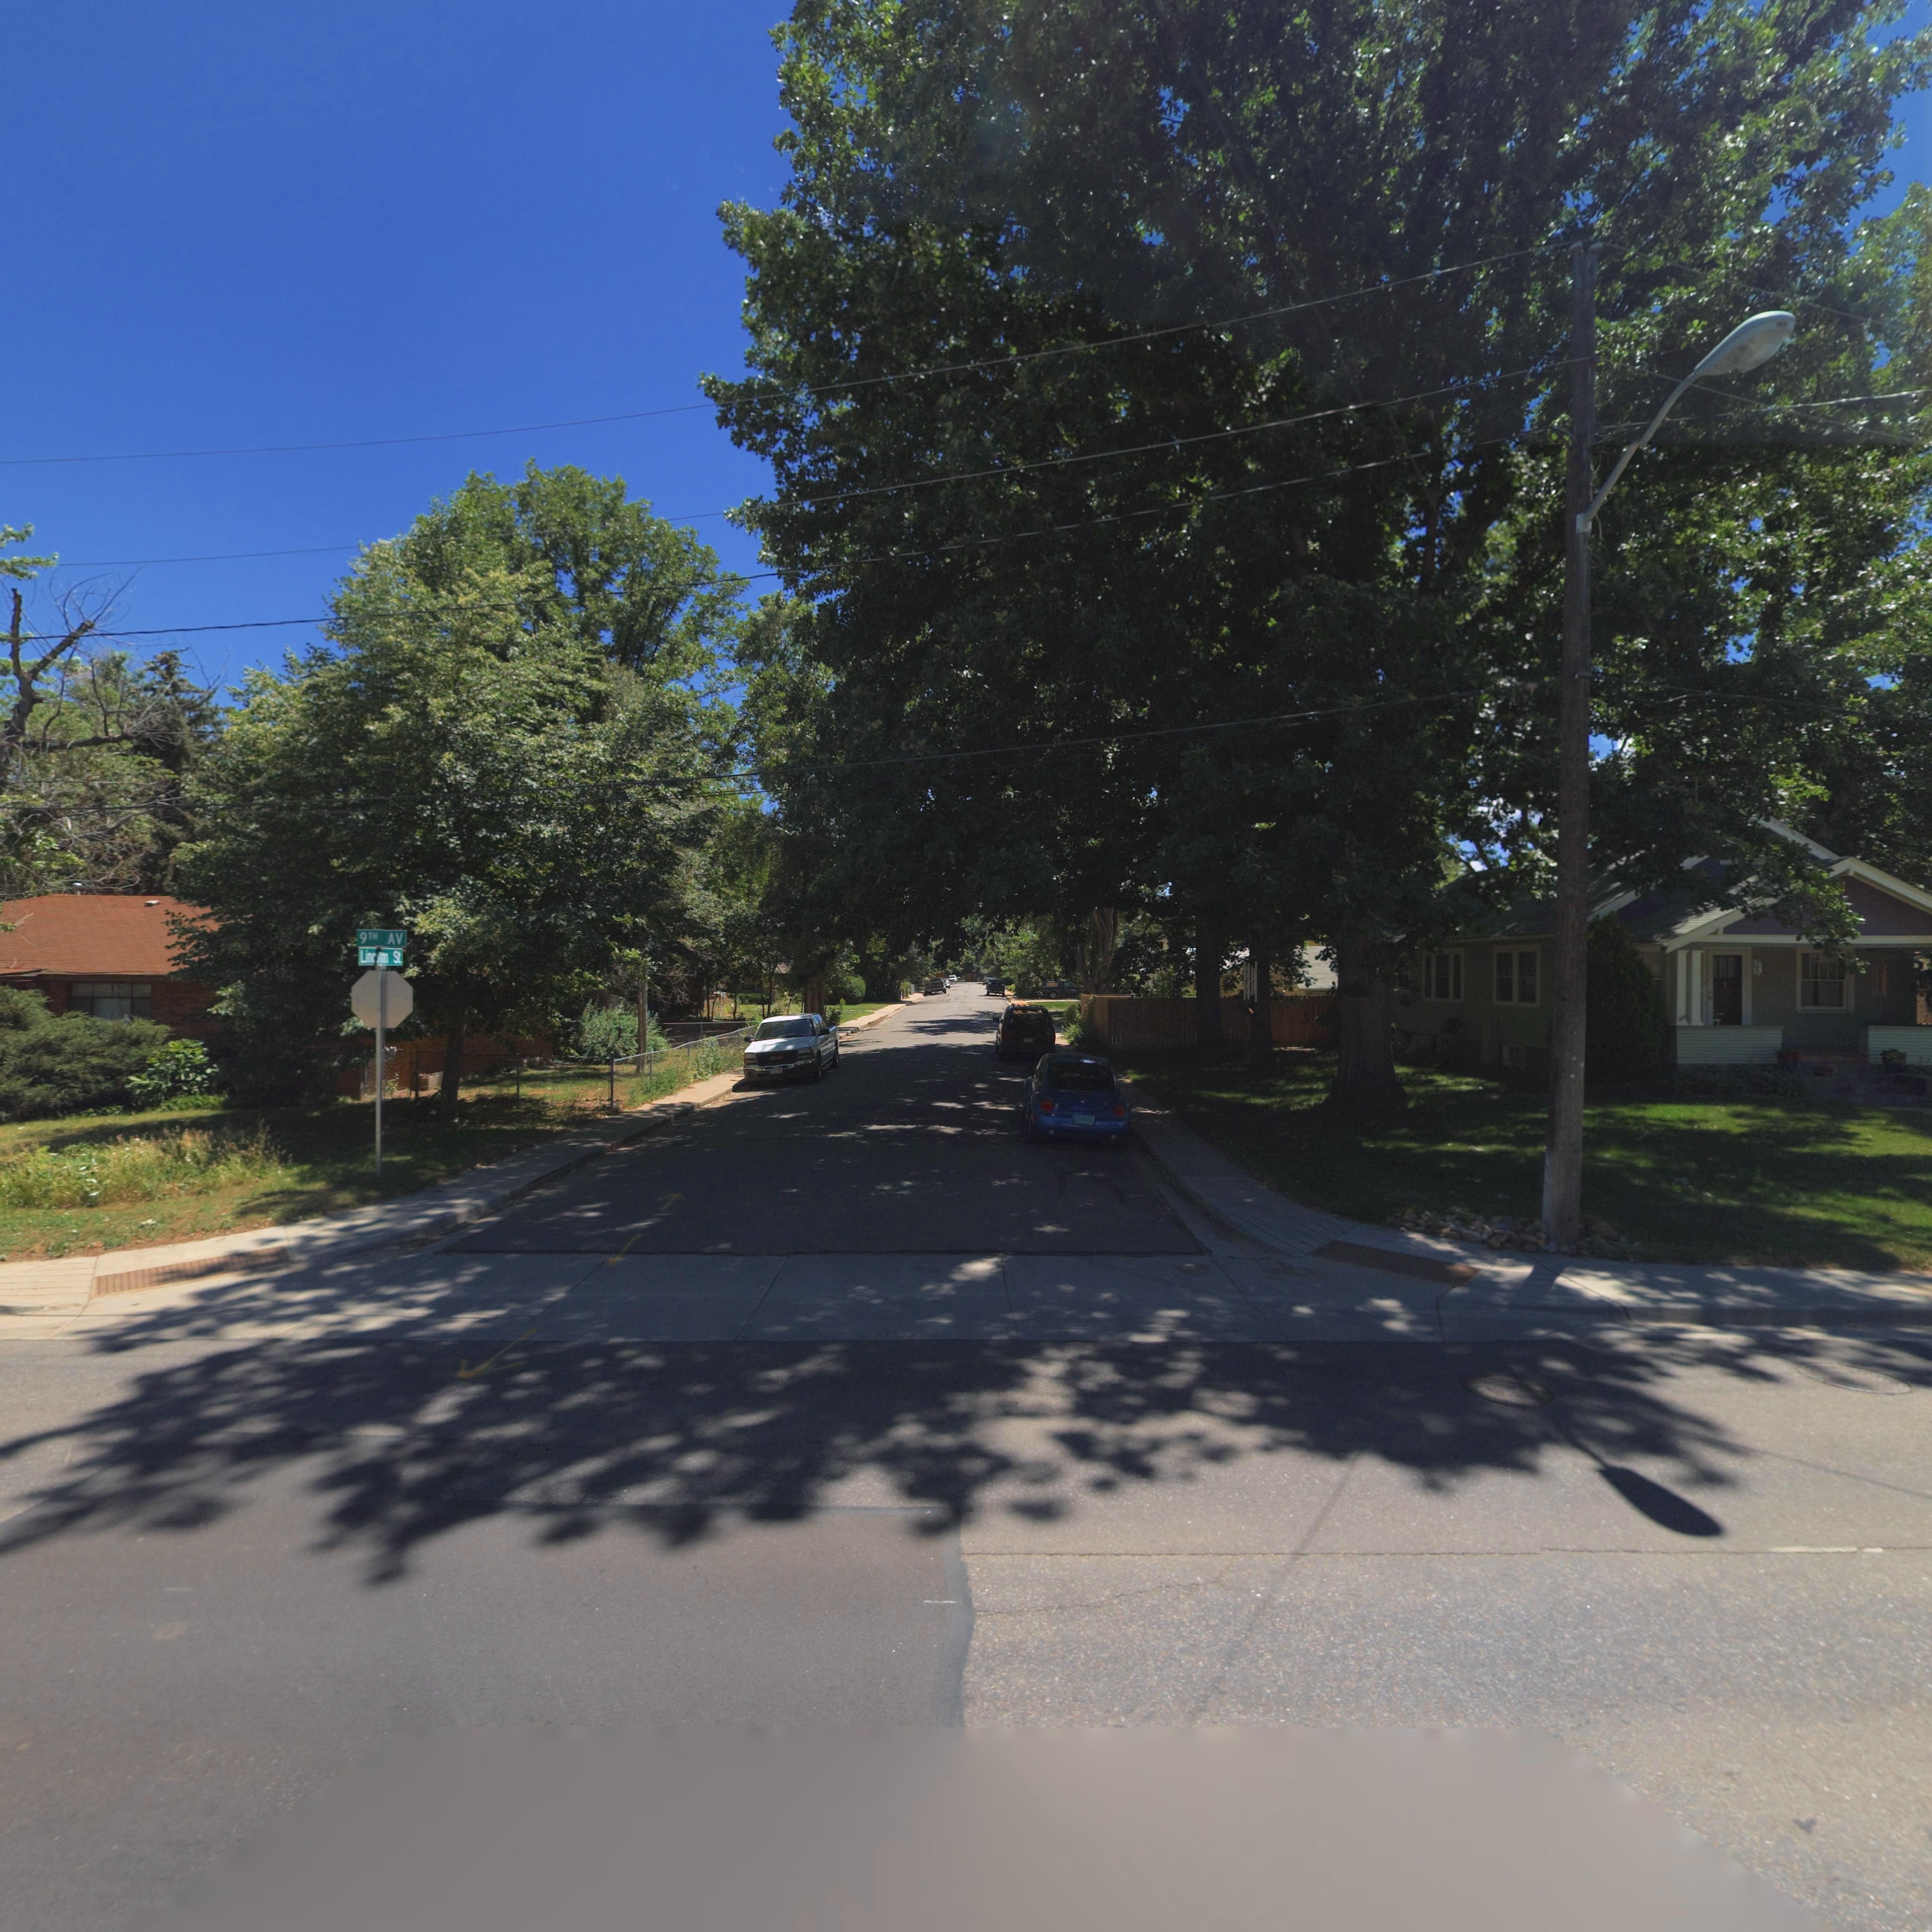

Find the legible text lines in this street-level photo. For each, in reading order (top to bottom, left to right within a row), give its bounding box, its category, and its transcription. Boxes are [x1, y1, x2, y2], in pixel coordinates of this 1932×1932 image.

[358, 931, 404, 945] StreetName: 9TH AV
[360, 949, 402, 964] StreetName: Linc**on St